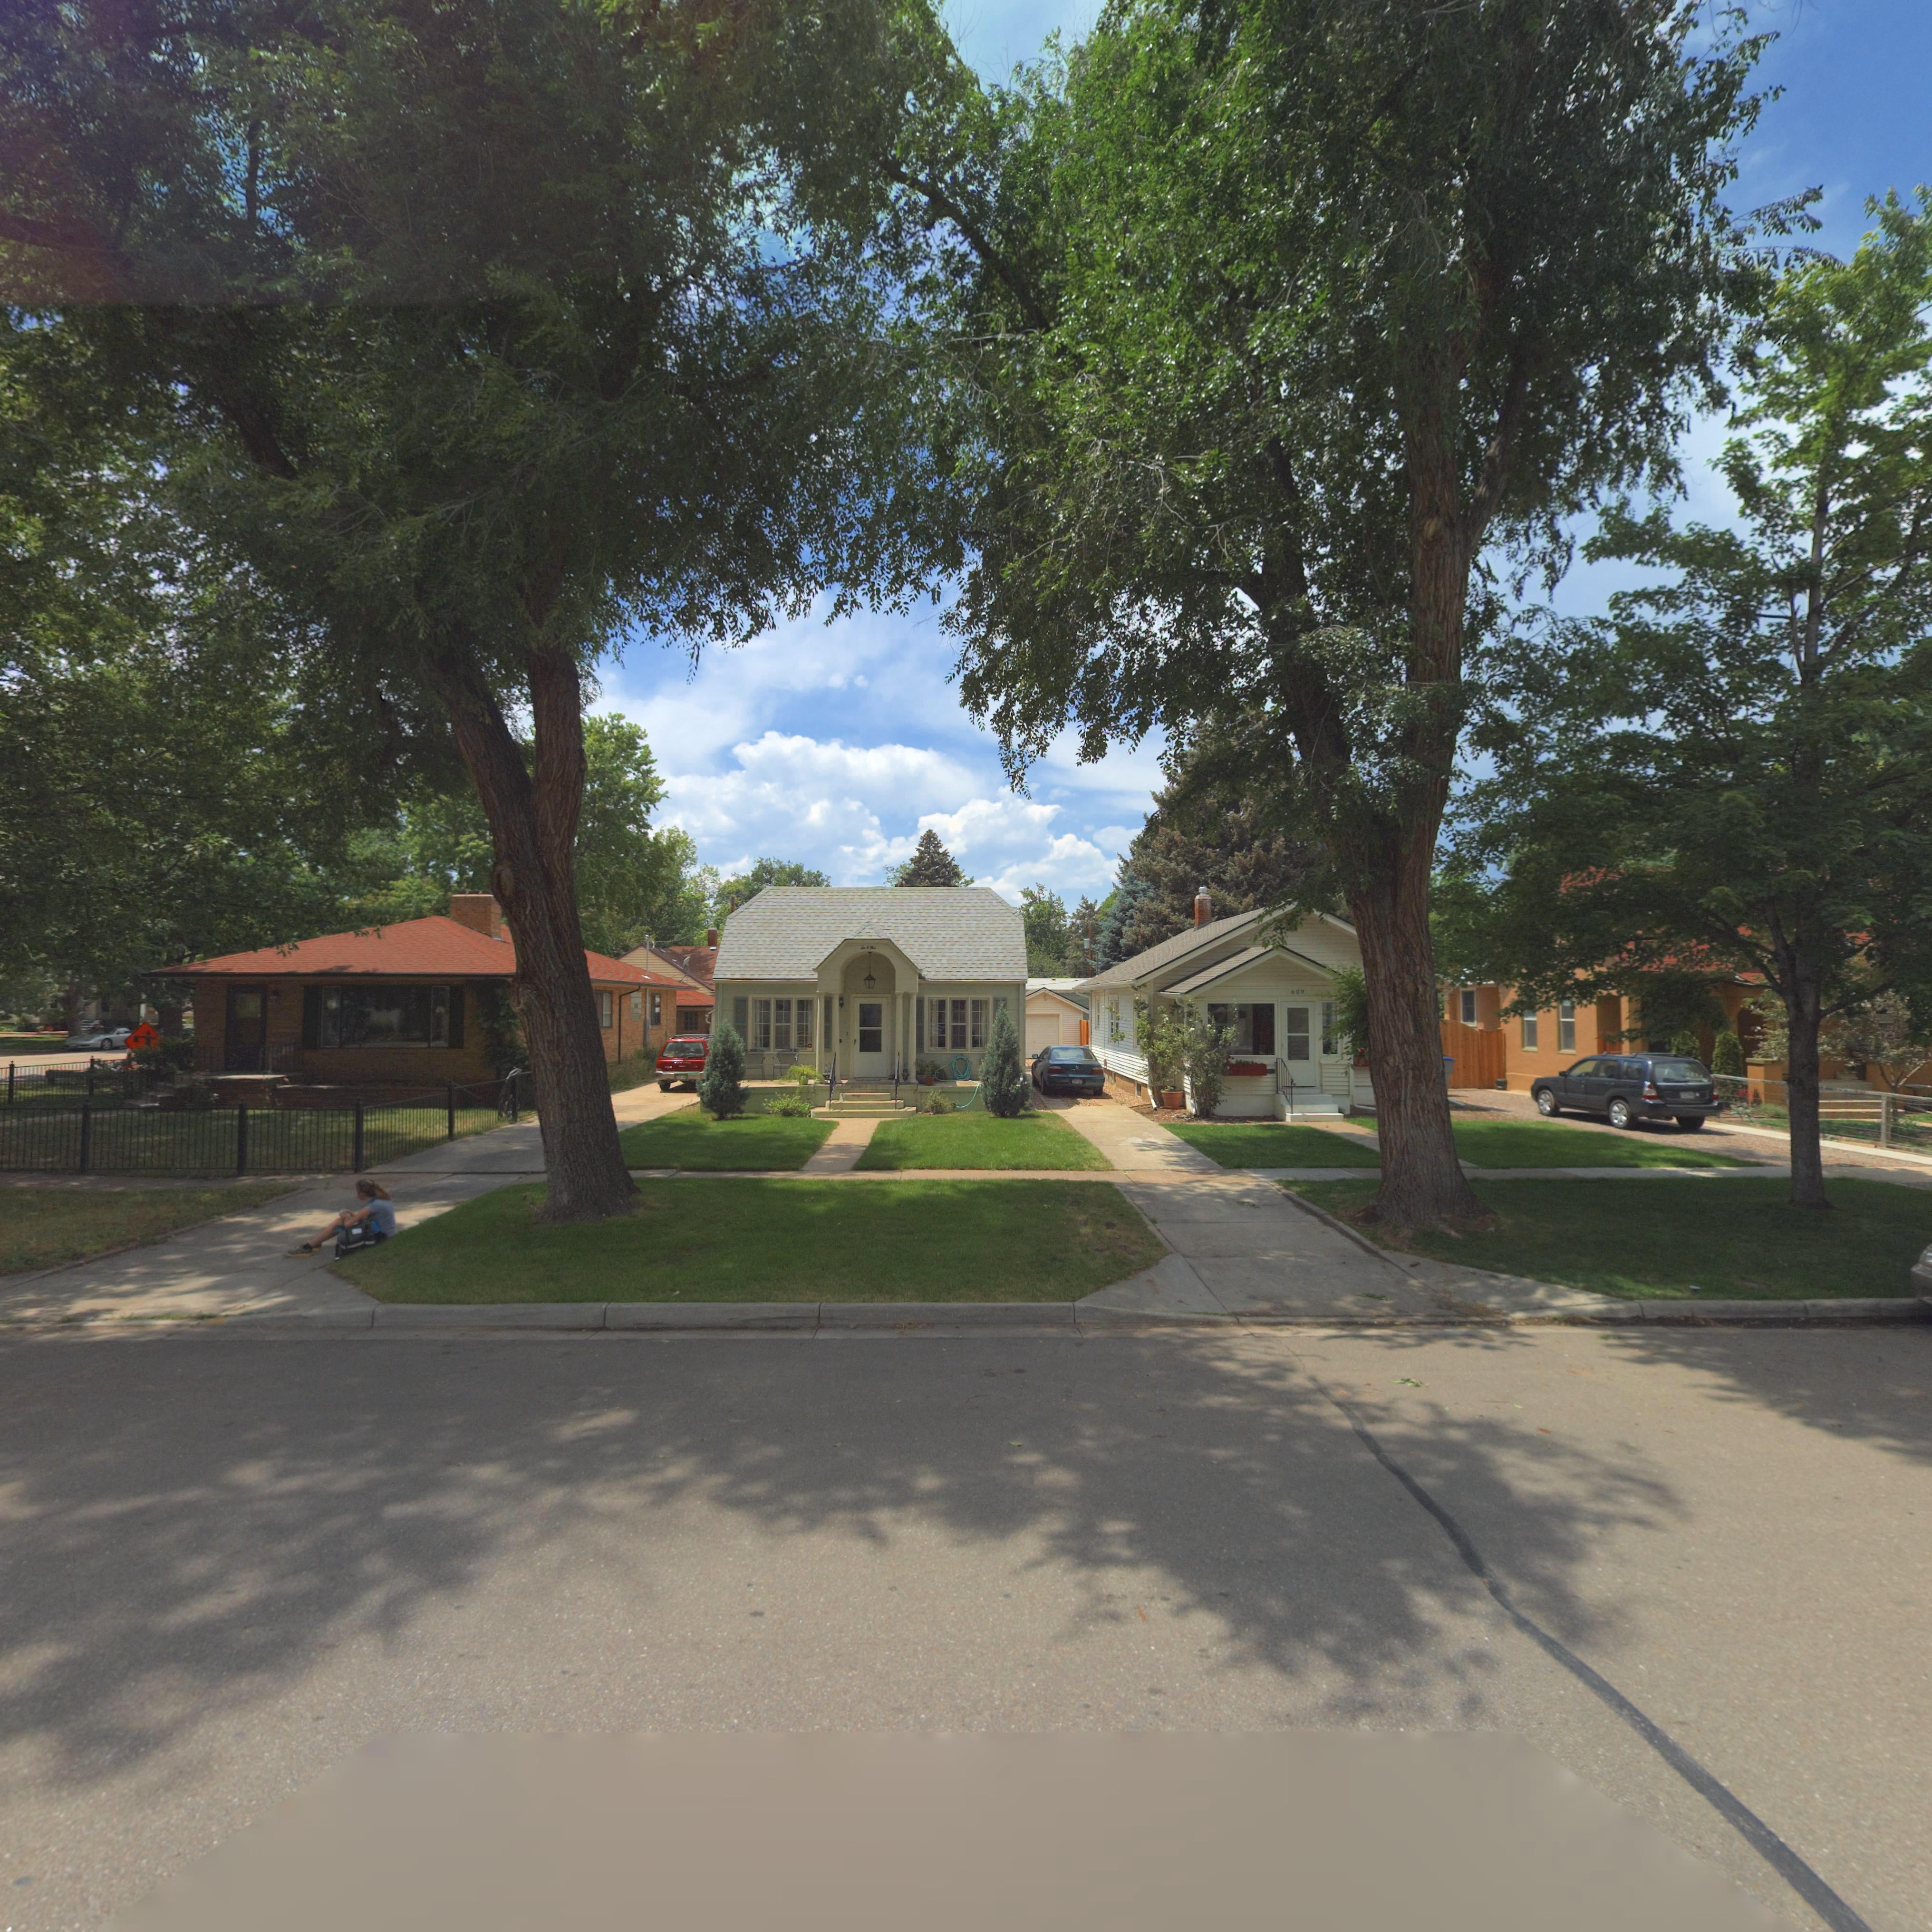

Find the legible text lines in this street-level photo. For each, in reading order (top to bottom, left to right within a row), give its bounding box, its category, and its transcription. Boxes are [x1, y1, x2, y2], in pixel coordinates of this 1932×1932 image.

[1291, 988, 1305, 995] StreetNumber: 609